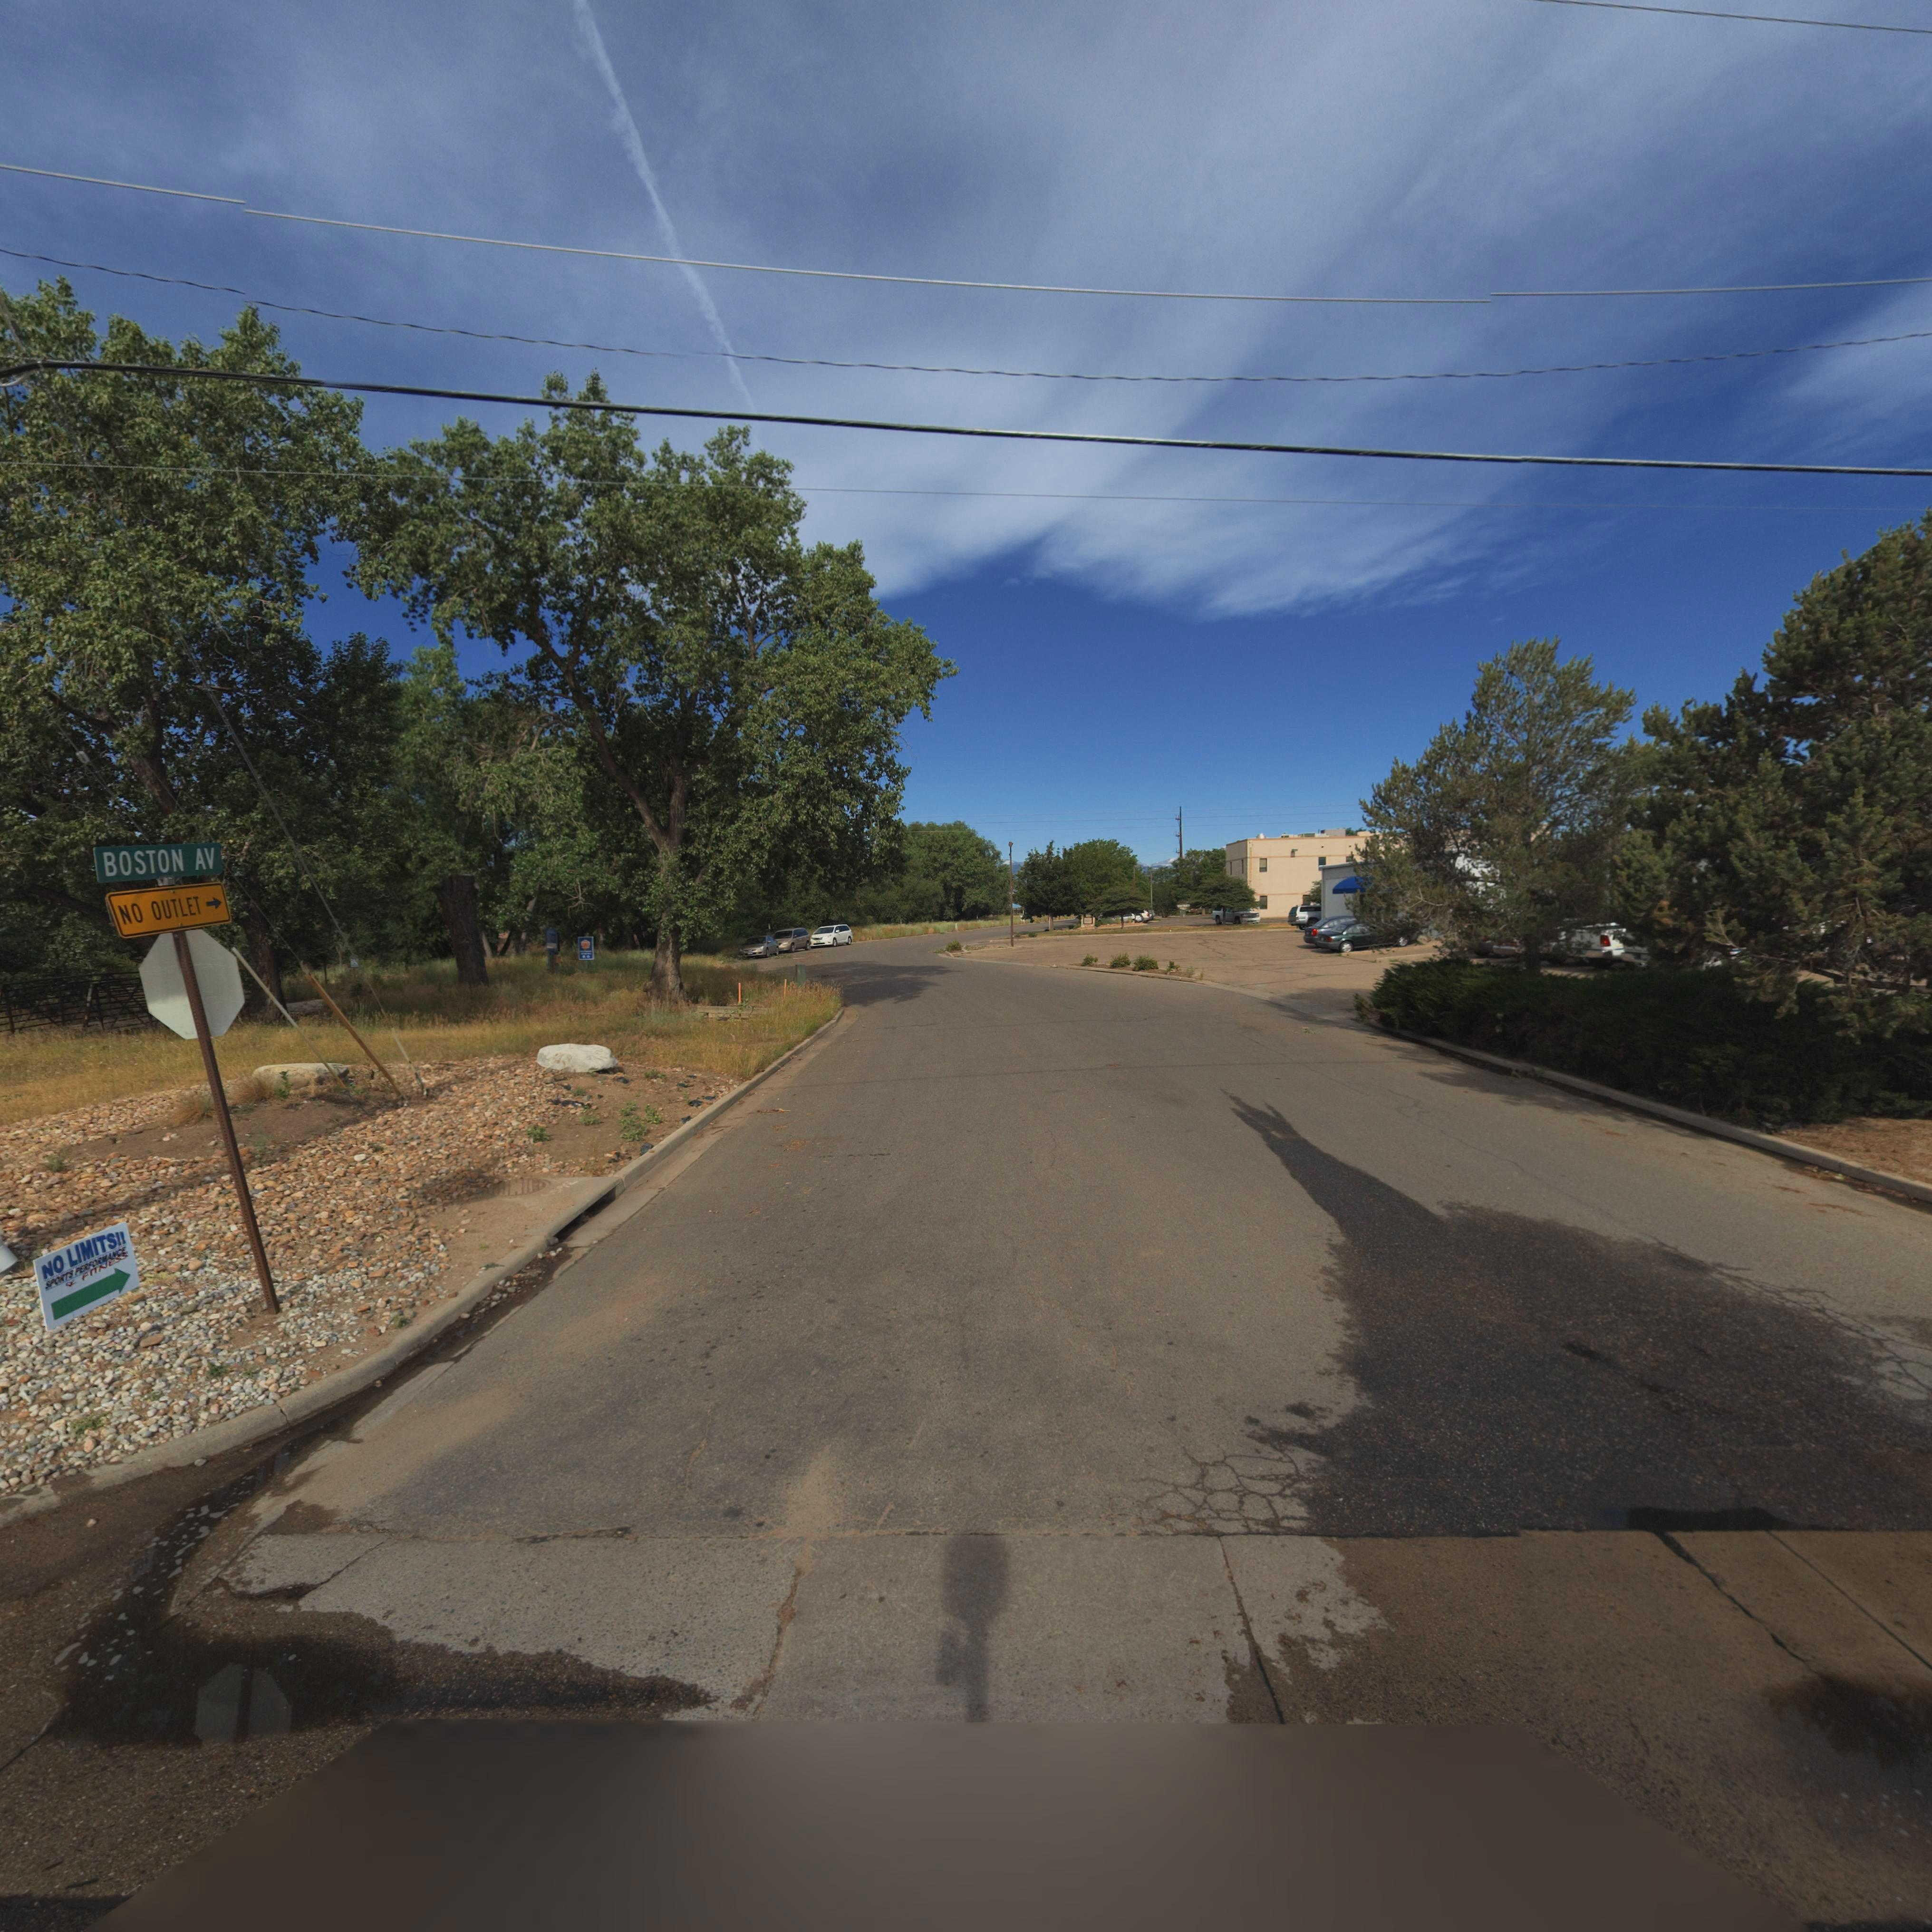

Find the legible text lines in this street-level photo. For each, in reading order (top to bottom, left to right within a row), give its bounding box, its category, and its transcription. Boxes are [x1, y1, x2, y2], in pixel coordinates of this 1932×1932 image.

[101, 845, 216, 878] StreetName: BOSTON AV